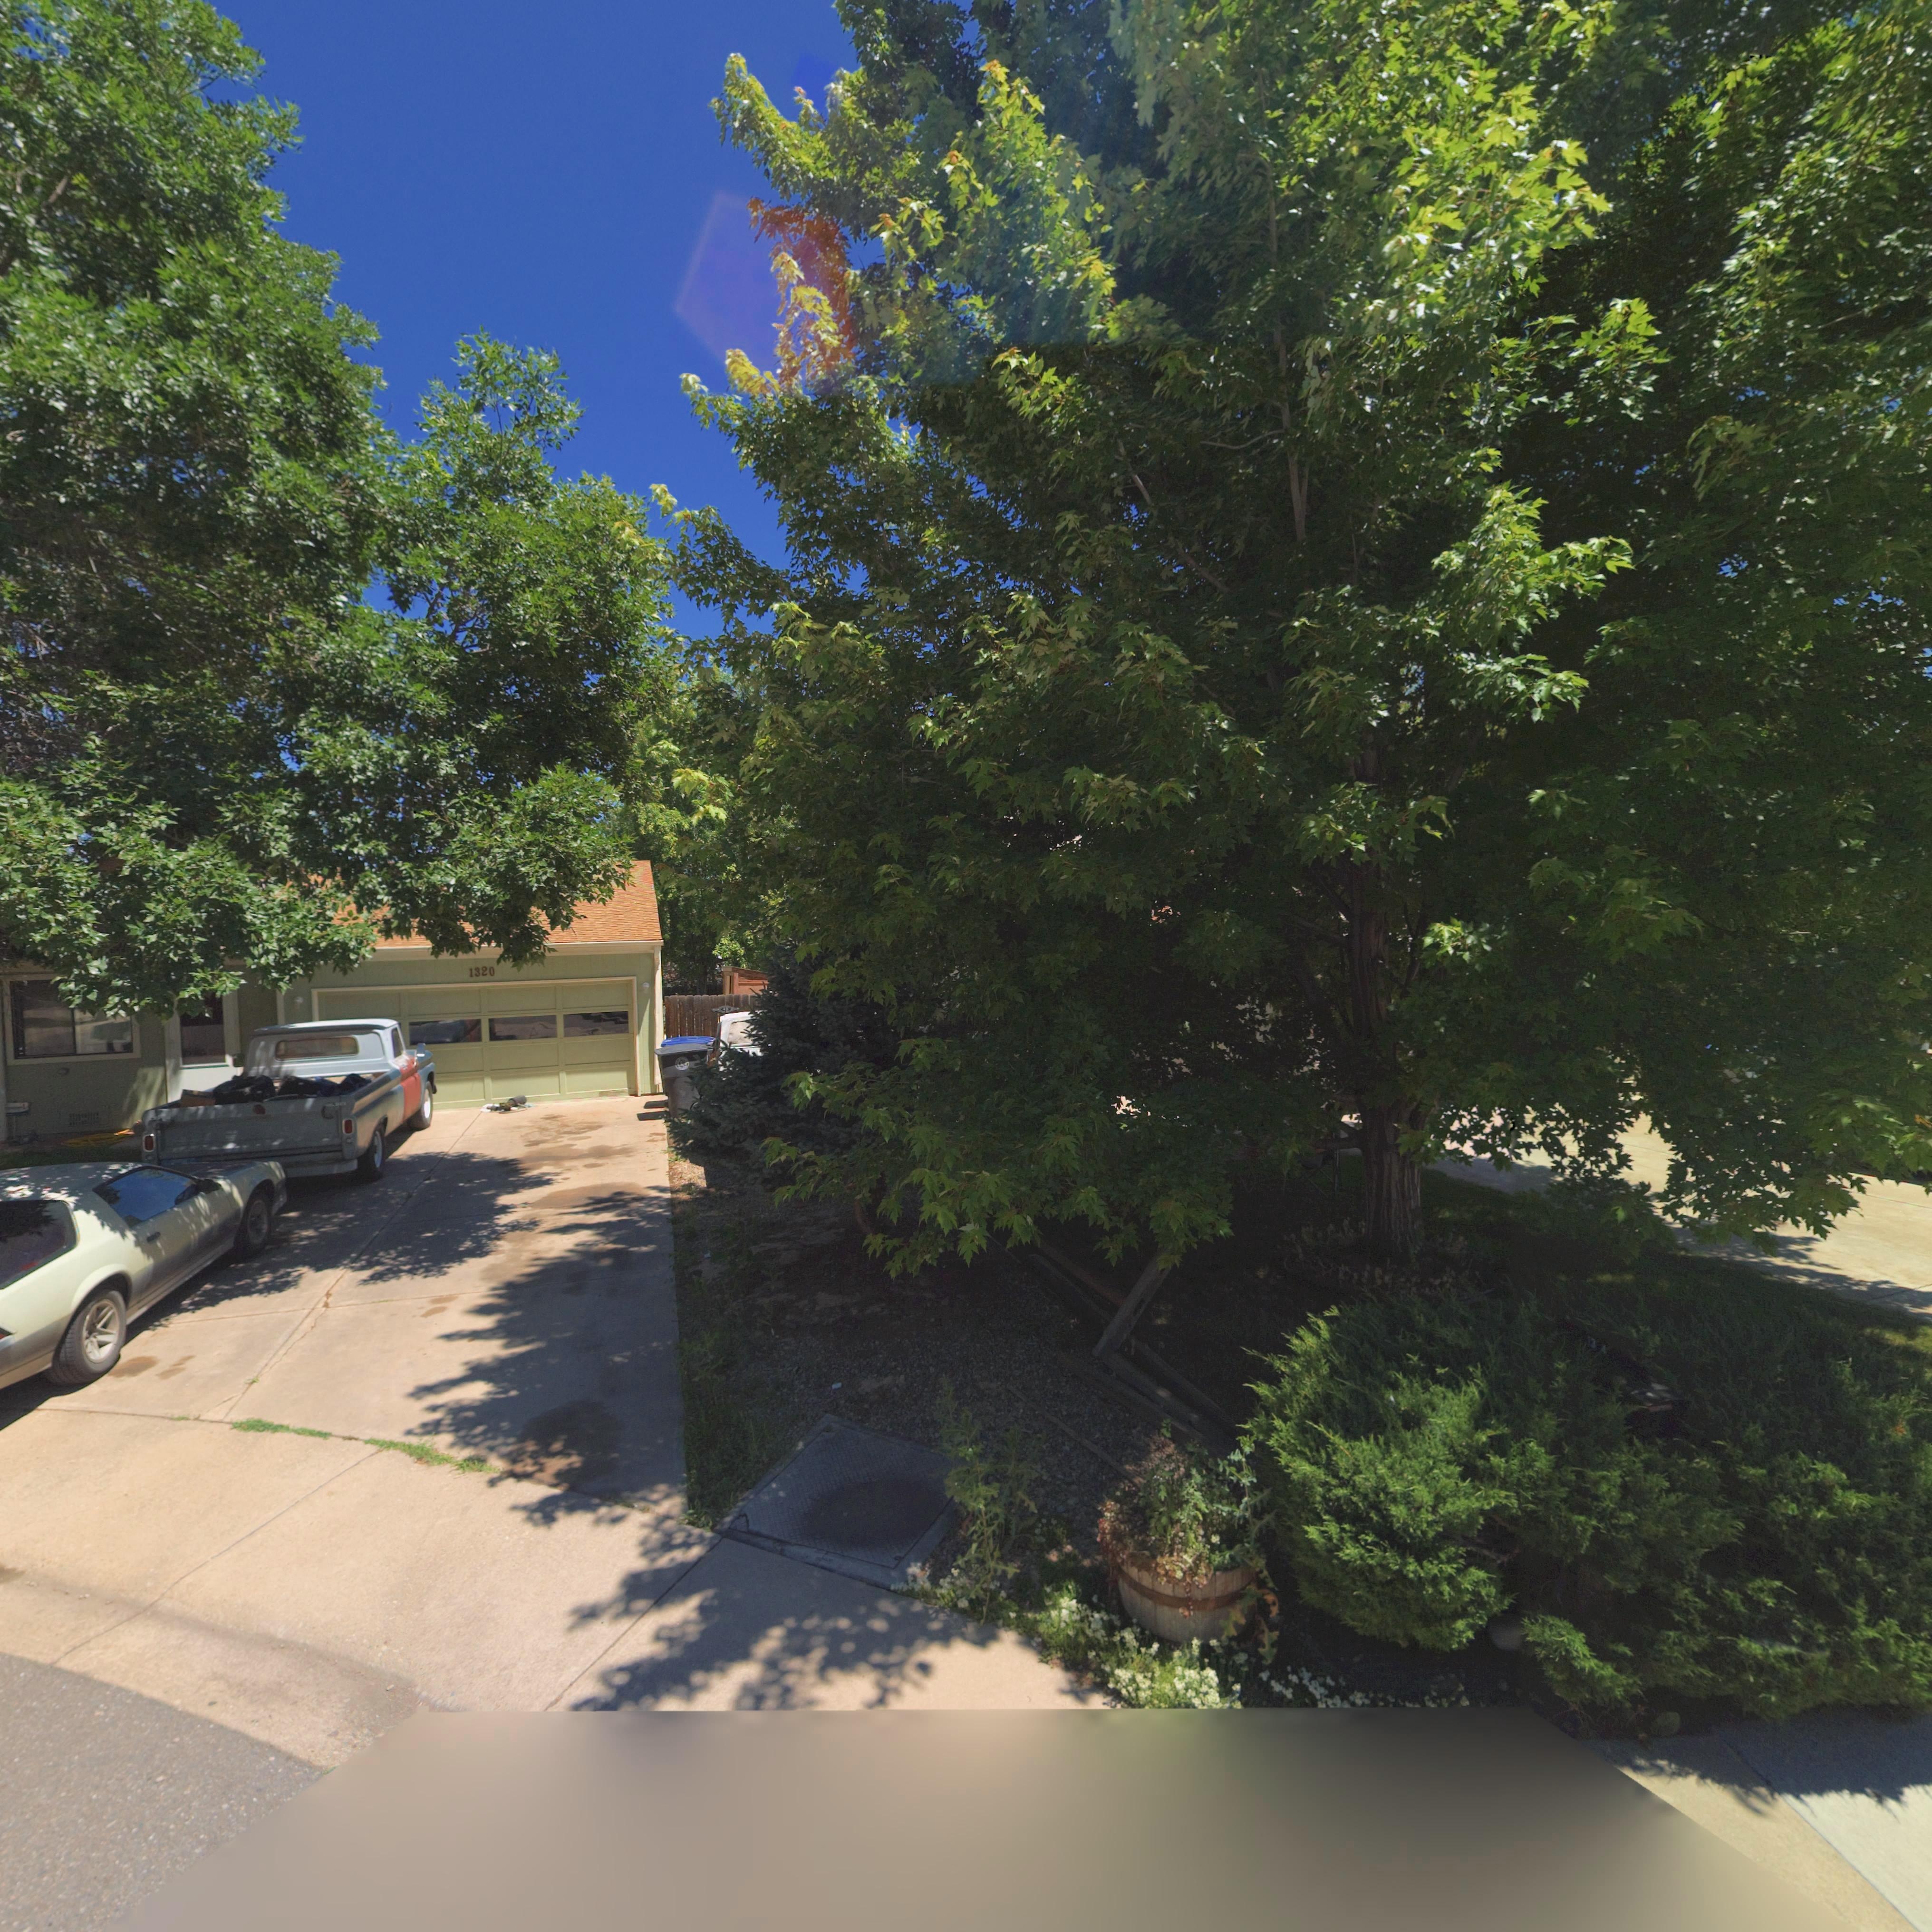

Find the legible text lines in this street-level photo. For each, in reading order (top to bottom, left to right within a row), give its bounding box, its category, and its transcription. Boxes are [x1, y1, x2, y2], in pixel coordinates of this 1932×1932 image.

[469, 966, 495, 977] StreetNumber: 1320